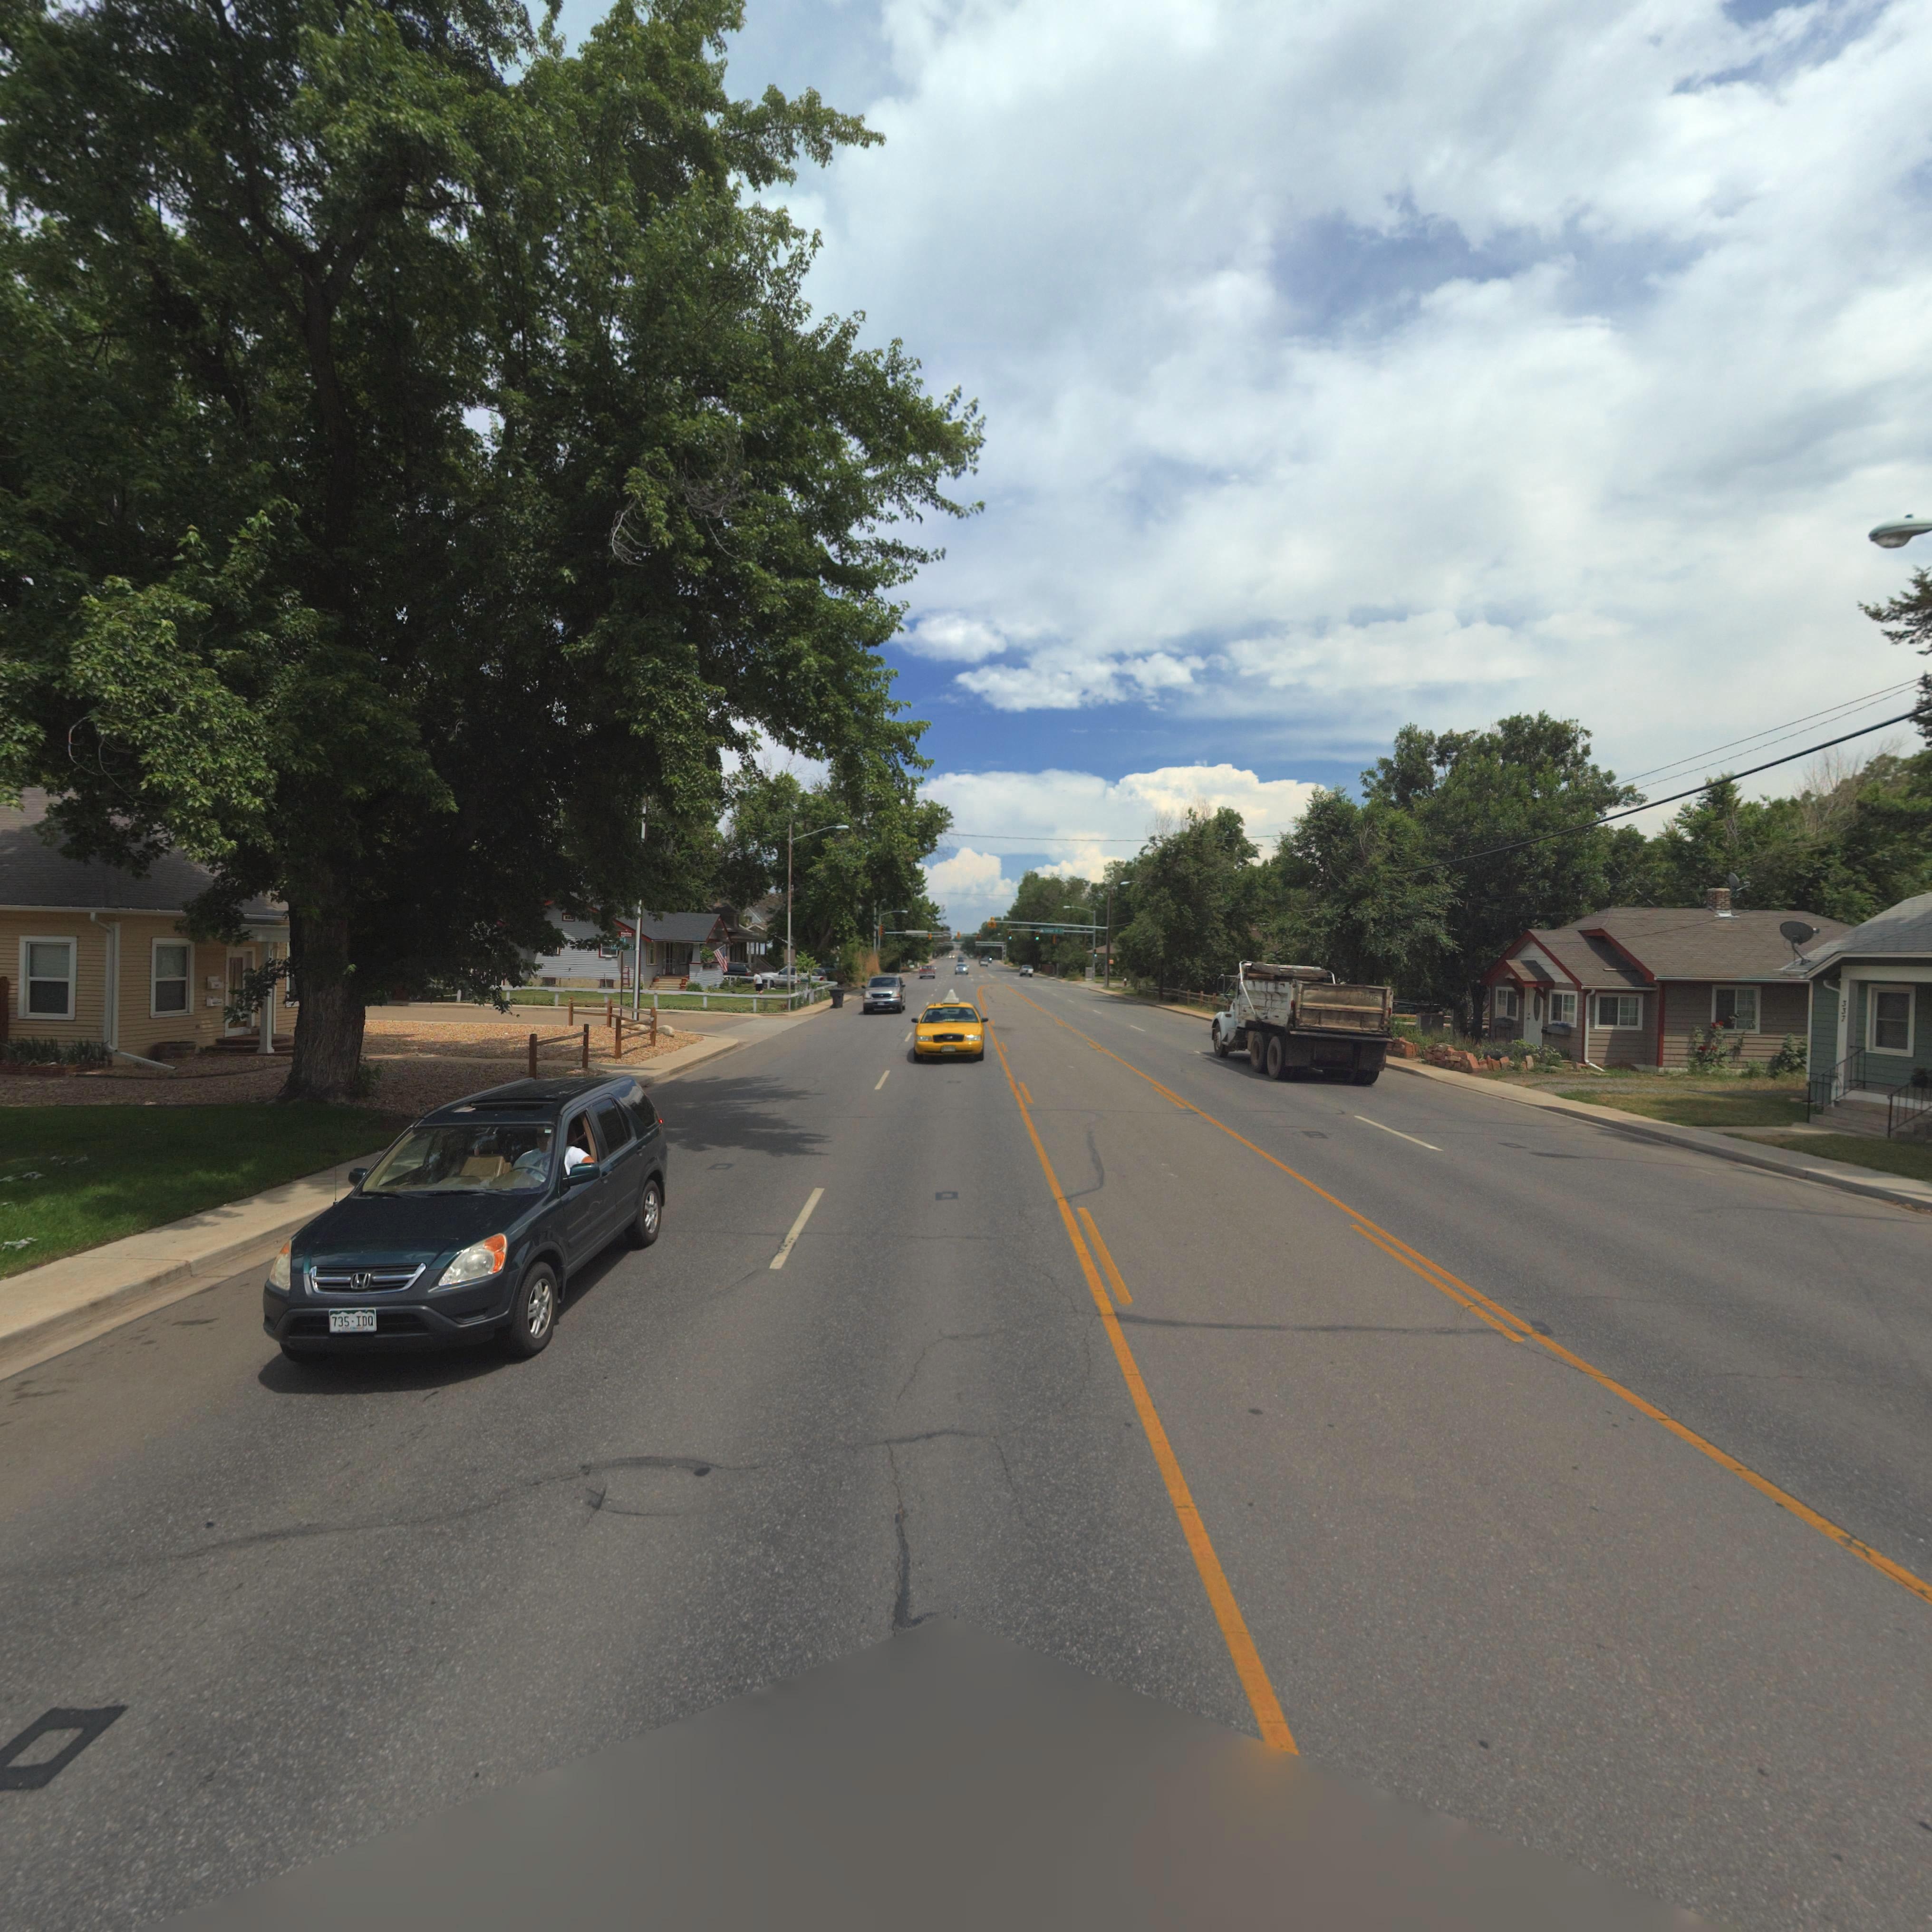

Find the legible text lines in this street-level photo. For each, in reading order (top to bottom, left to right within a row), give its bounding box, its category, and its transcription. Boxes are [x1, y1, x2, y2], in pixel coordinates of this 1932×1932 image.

[1841, 1000, 1846, 1022] StreetNumber: 337